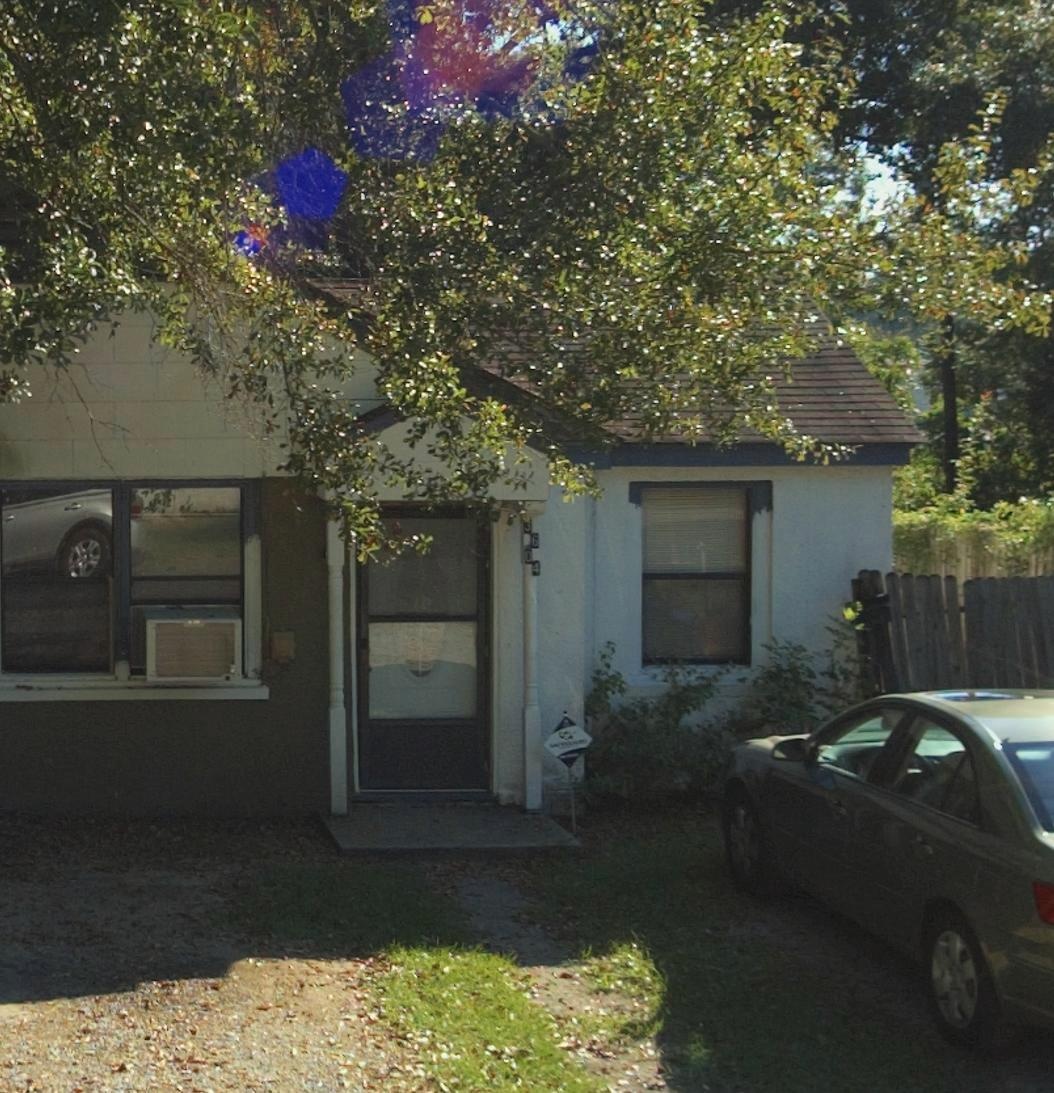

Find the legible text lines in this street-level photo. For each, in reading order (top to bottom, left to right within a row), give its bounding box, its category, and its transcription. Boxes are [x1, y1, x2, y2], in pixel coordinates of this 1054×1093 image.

[523, 518, 540, 576] StreetNumber: *604